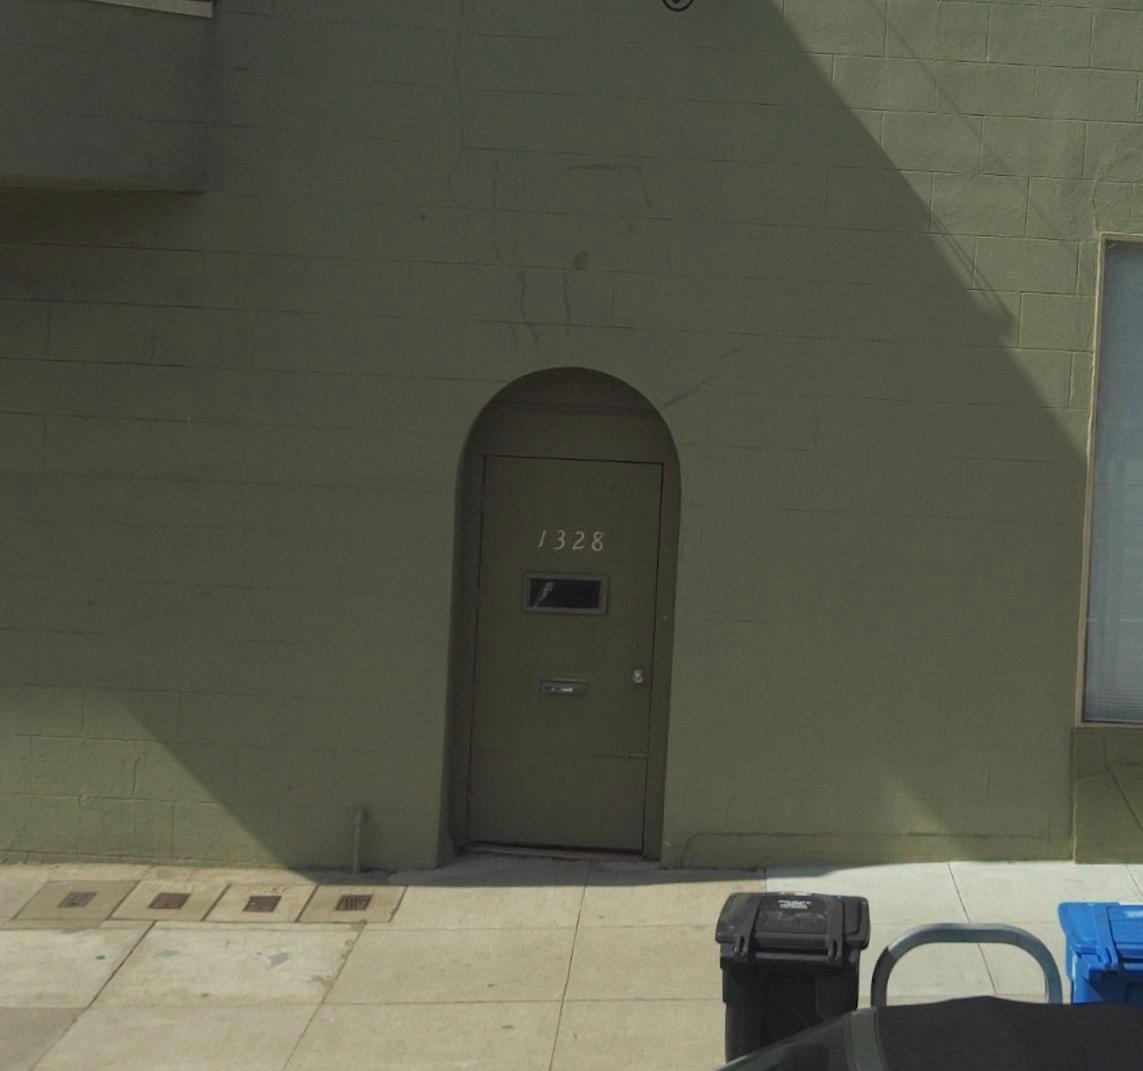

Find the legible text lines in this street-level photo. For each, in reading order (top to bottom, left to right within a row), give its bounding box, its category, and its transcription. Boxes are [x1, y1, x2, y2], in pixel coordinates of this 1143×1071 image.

[536, 528, 606, 552] StreetNumber: 1328